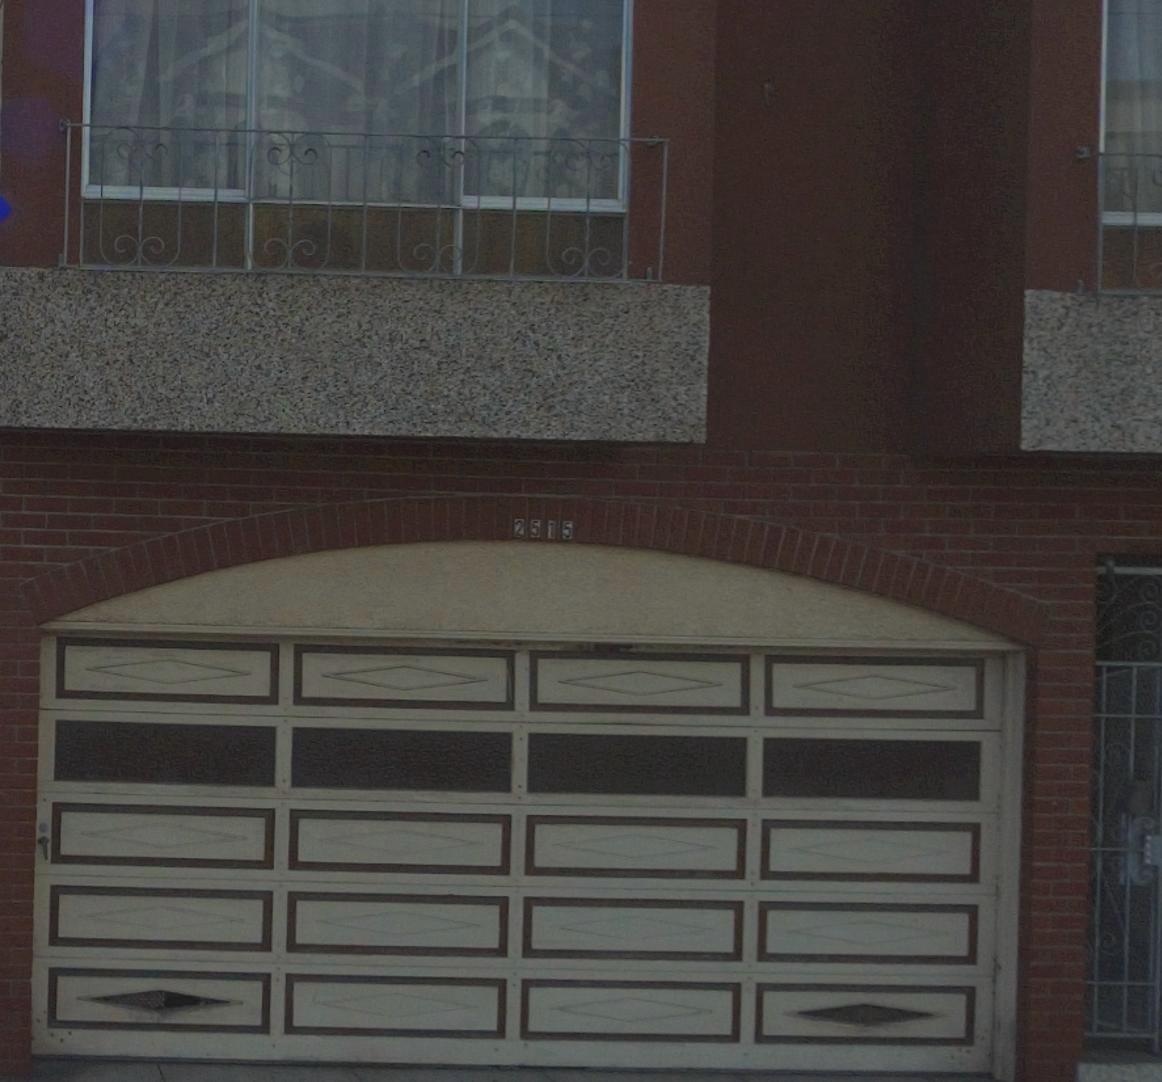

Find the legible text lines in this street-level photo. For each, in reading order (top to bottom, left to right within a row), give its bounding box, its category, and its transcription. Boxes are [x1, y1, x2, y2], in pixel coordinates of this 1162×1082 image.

[514, 519, 572, 539] StreetNumber: 2515